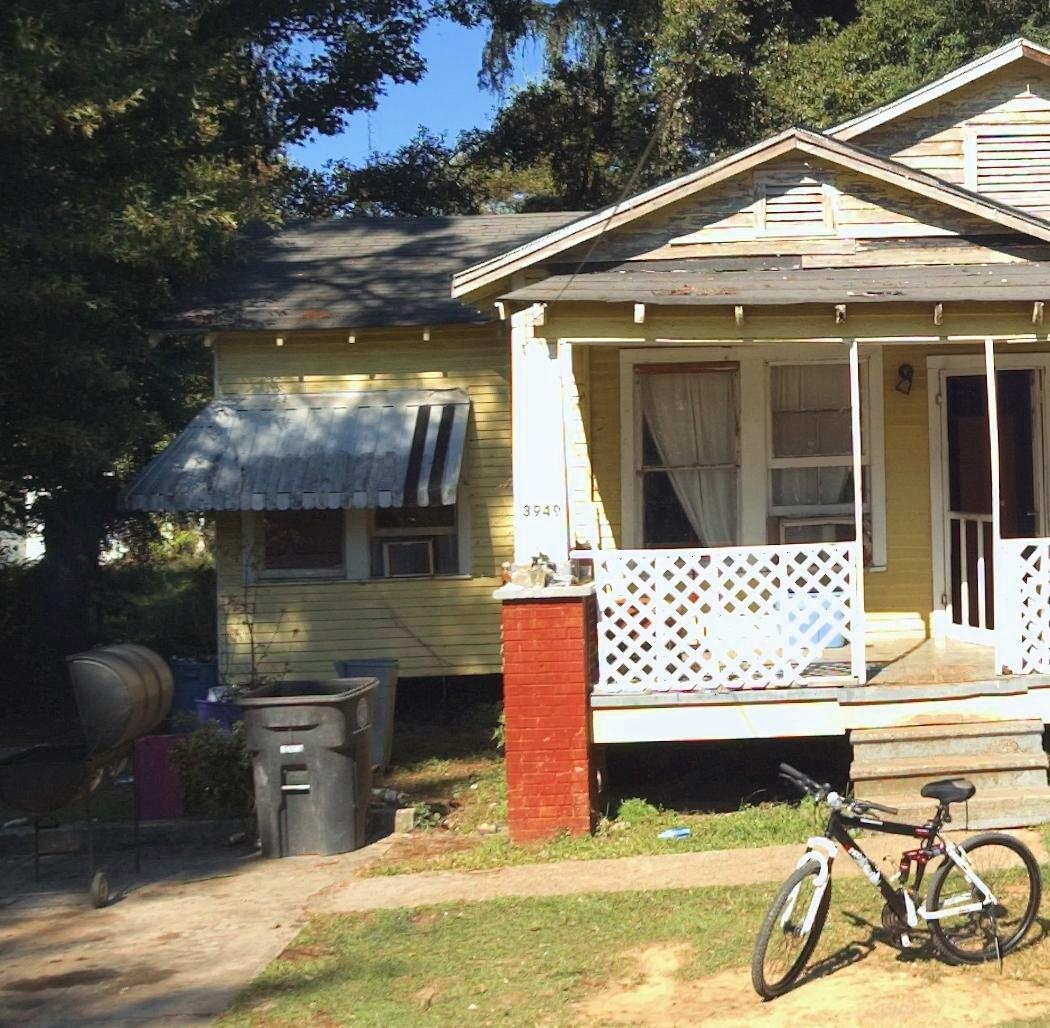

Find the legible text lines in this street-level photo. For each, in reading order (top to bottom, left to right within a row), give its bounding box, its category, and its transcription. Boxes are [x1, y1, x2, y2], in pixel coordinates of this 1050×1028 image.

[520, 502, 565, 521] StreetNumber: 3949